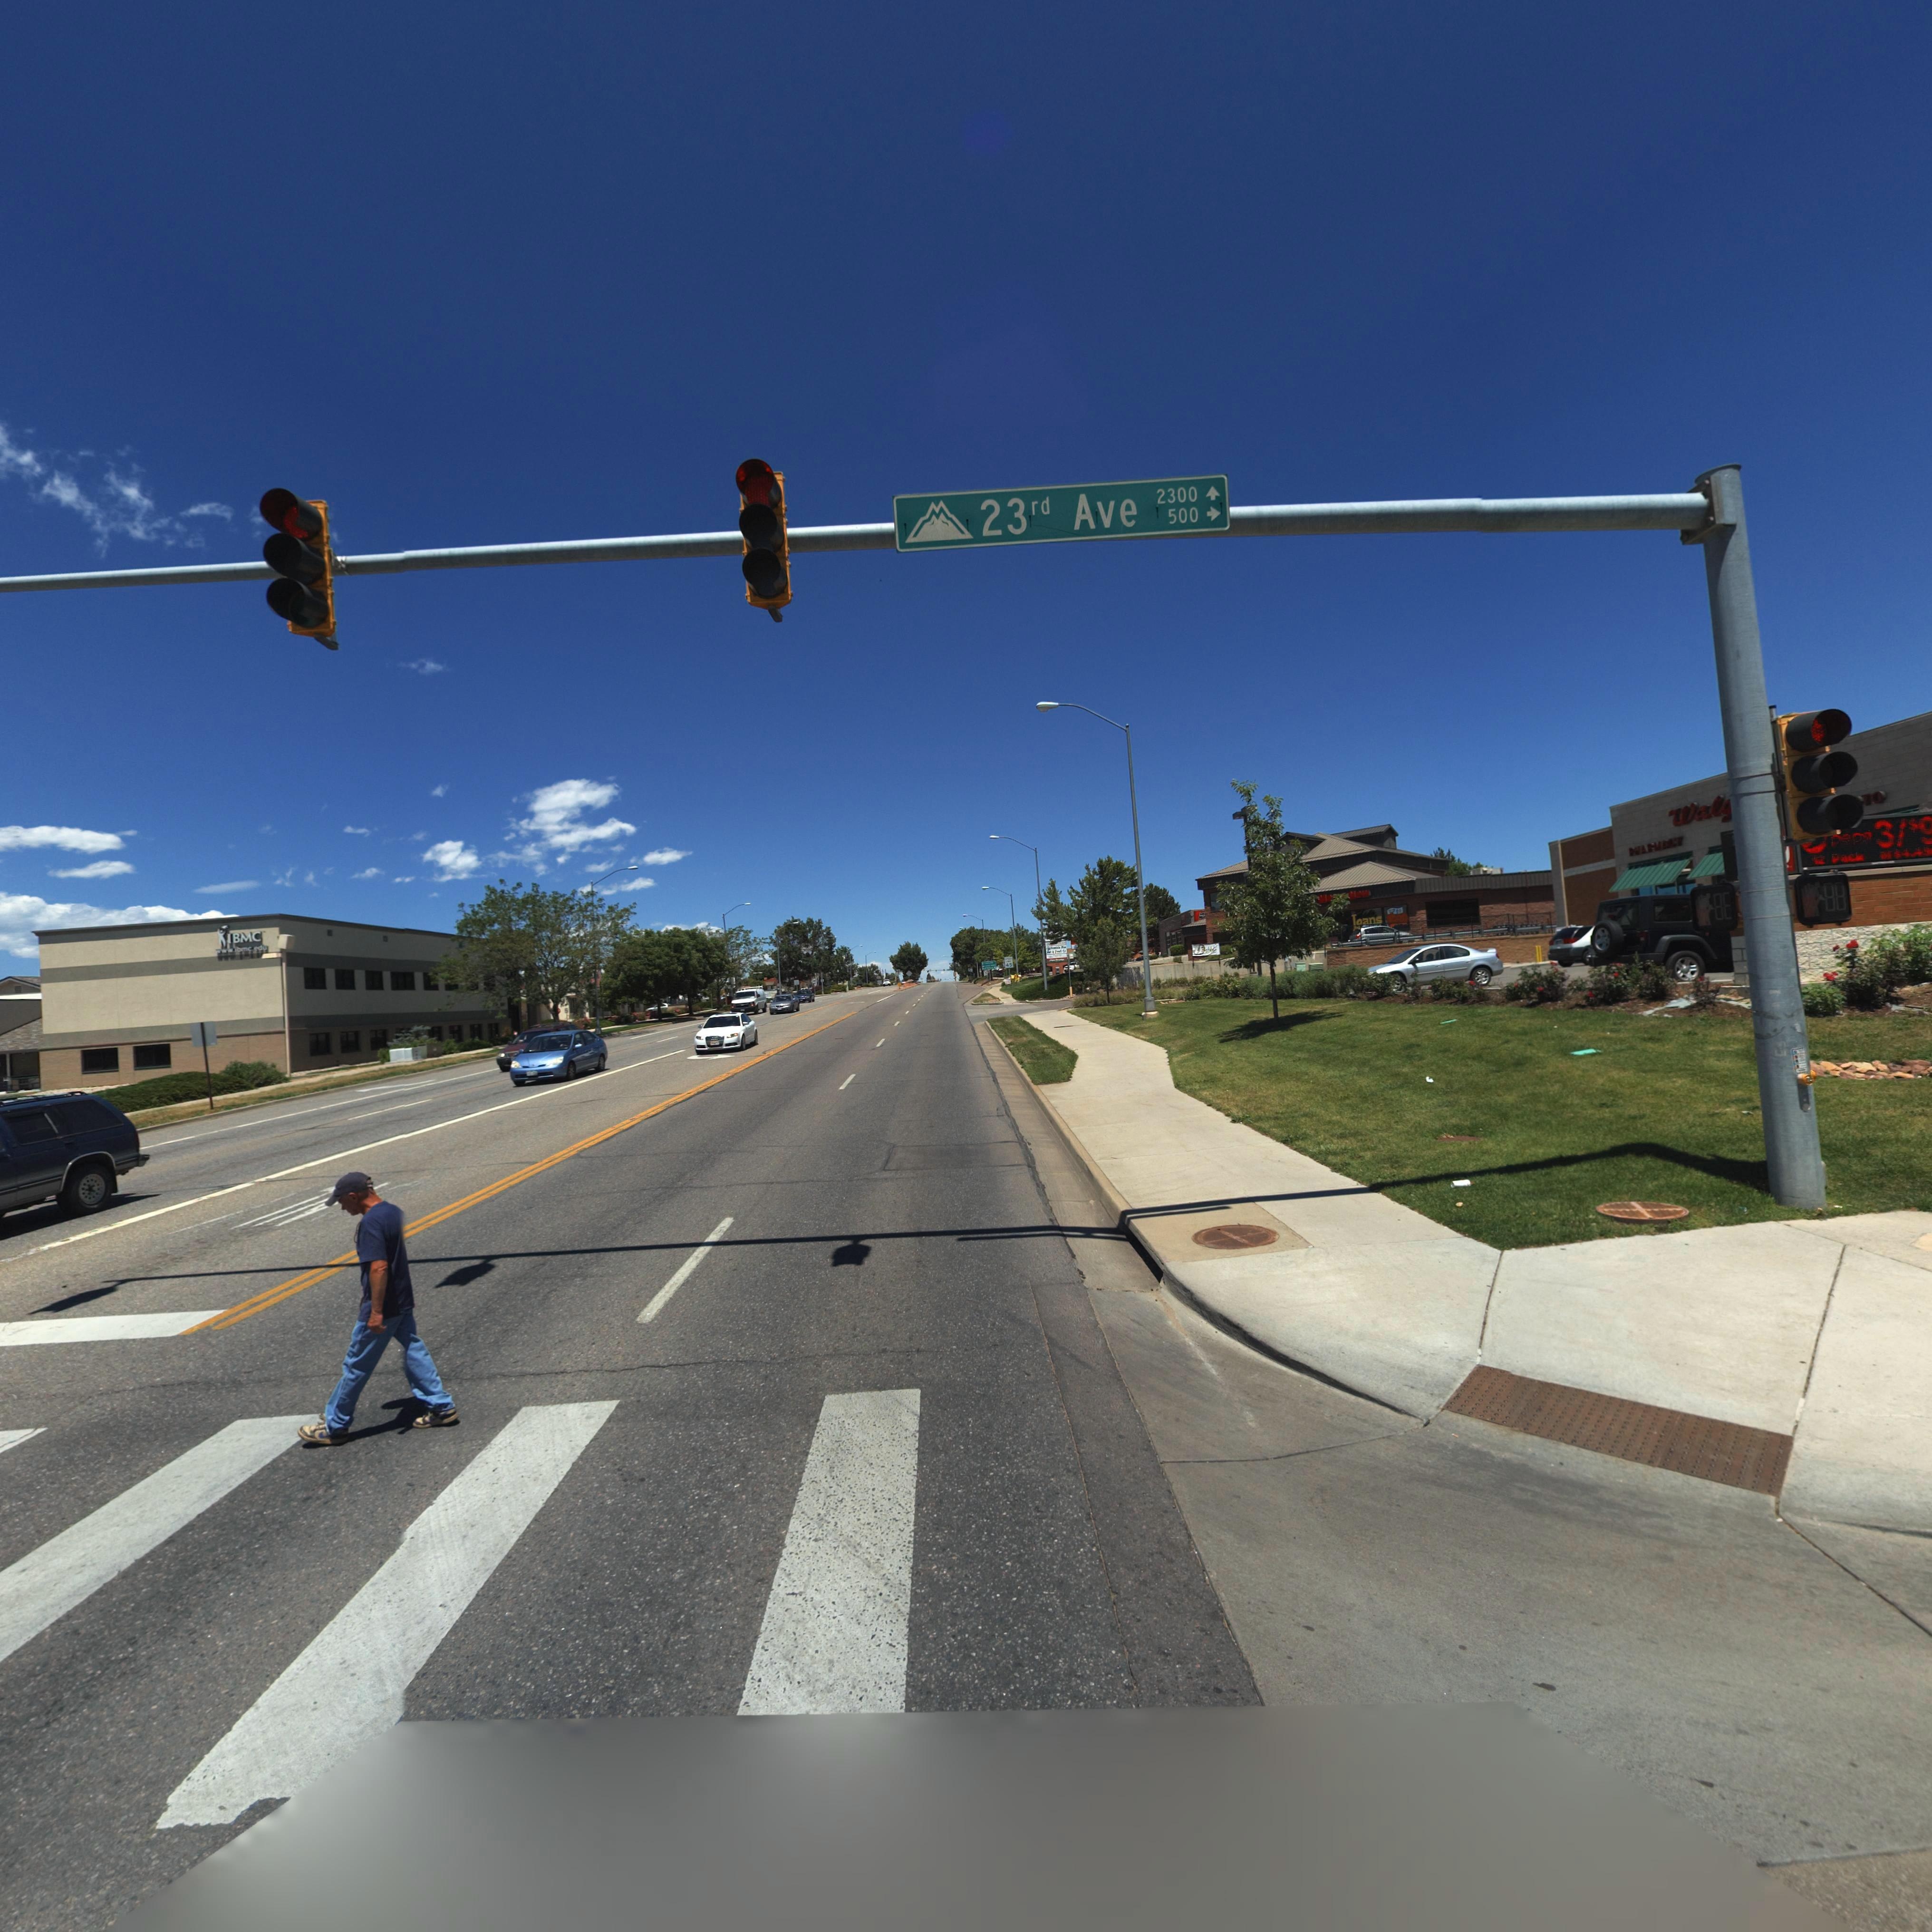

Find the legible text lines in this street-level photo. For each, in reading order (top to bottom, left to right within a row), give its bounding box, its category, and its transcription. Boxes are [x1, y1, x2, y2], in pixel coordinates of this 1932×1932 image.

[1156, 485, 1198, 504] StreetNumberRange: 2300
[979, 493, 1137, 537] StreetName: 23rd Ave
[1168, 505, 1221, 525] StreetNumberRange: 550->
[227, 930, 261, 943] BusinessName: IBMC